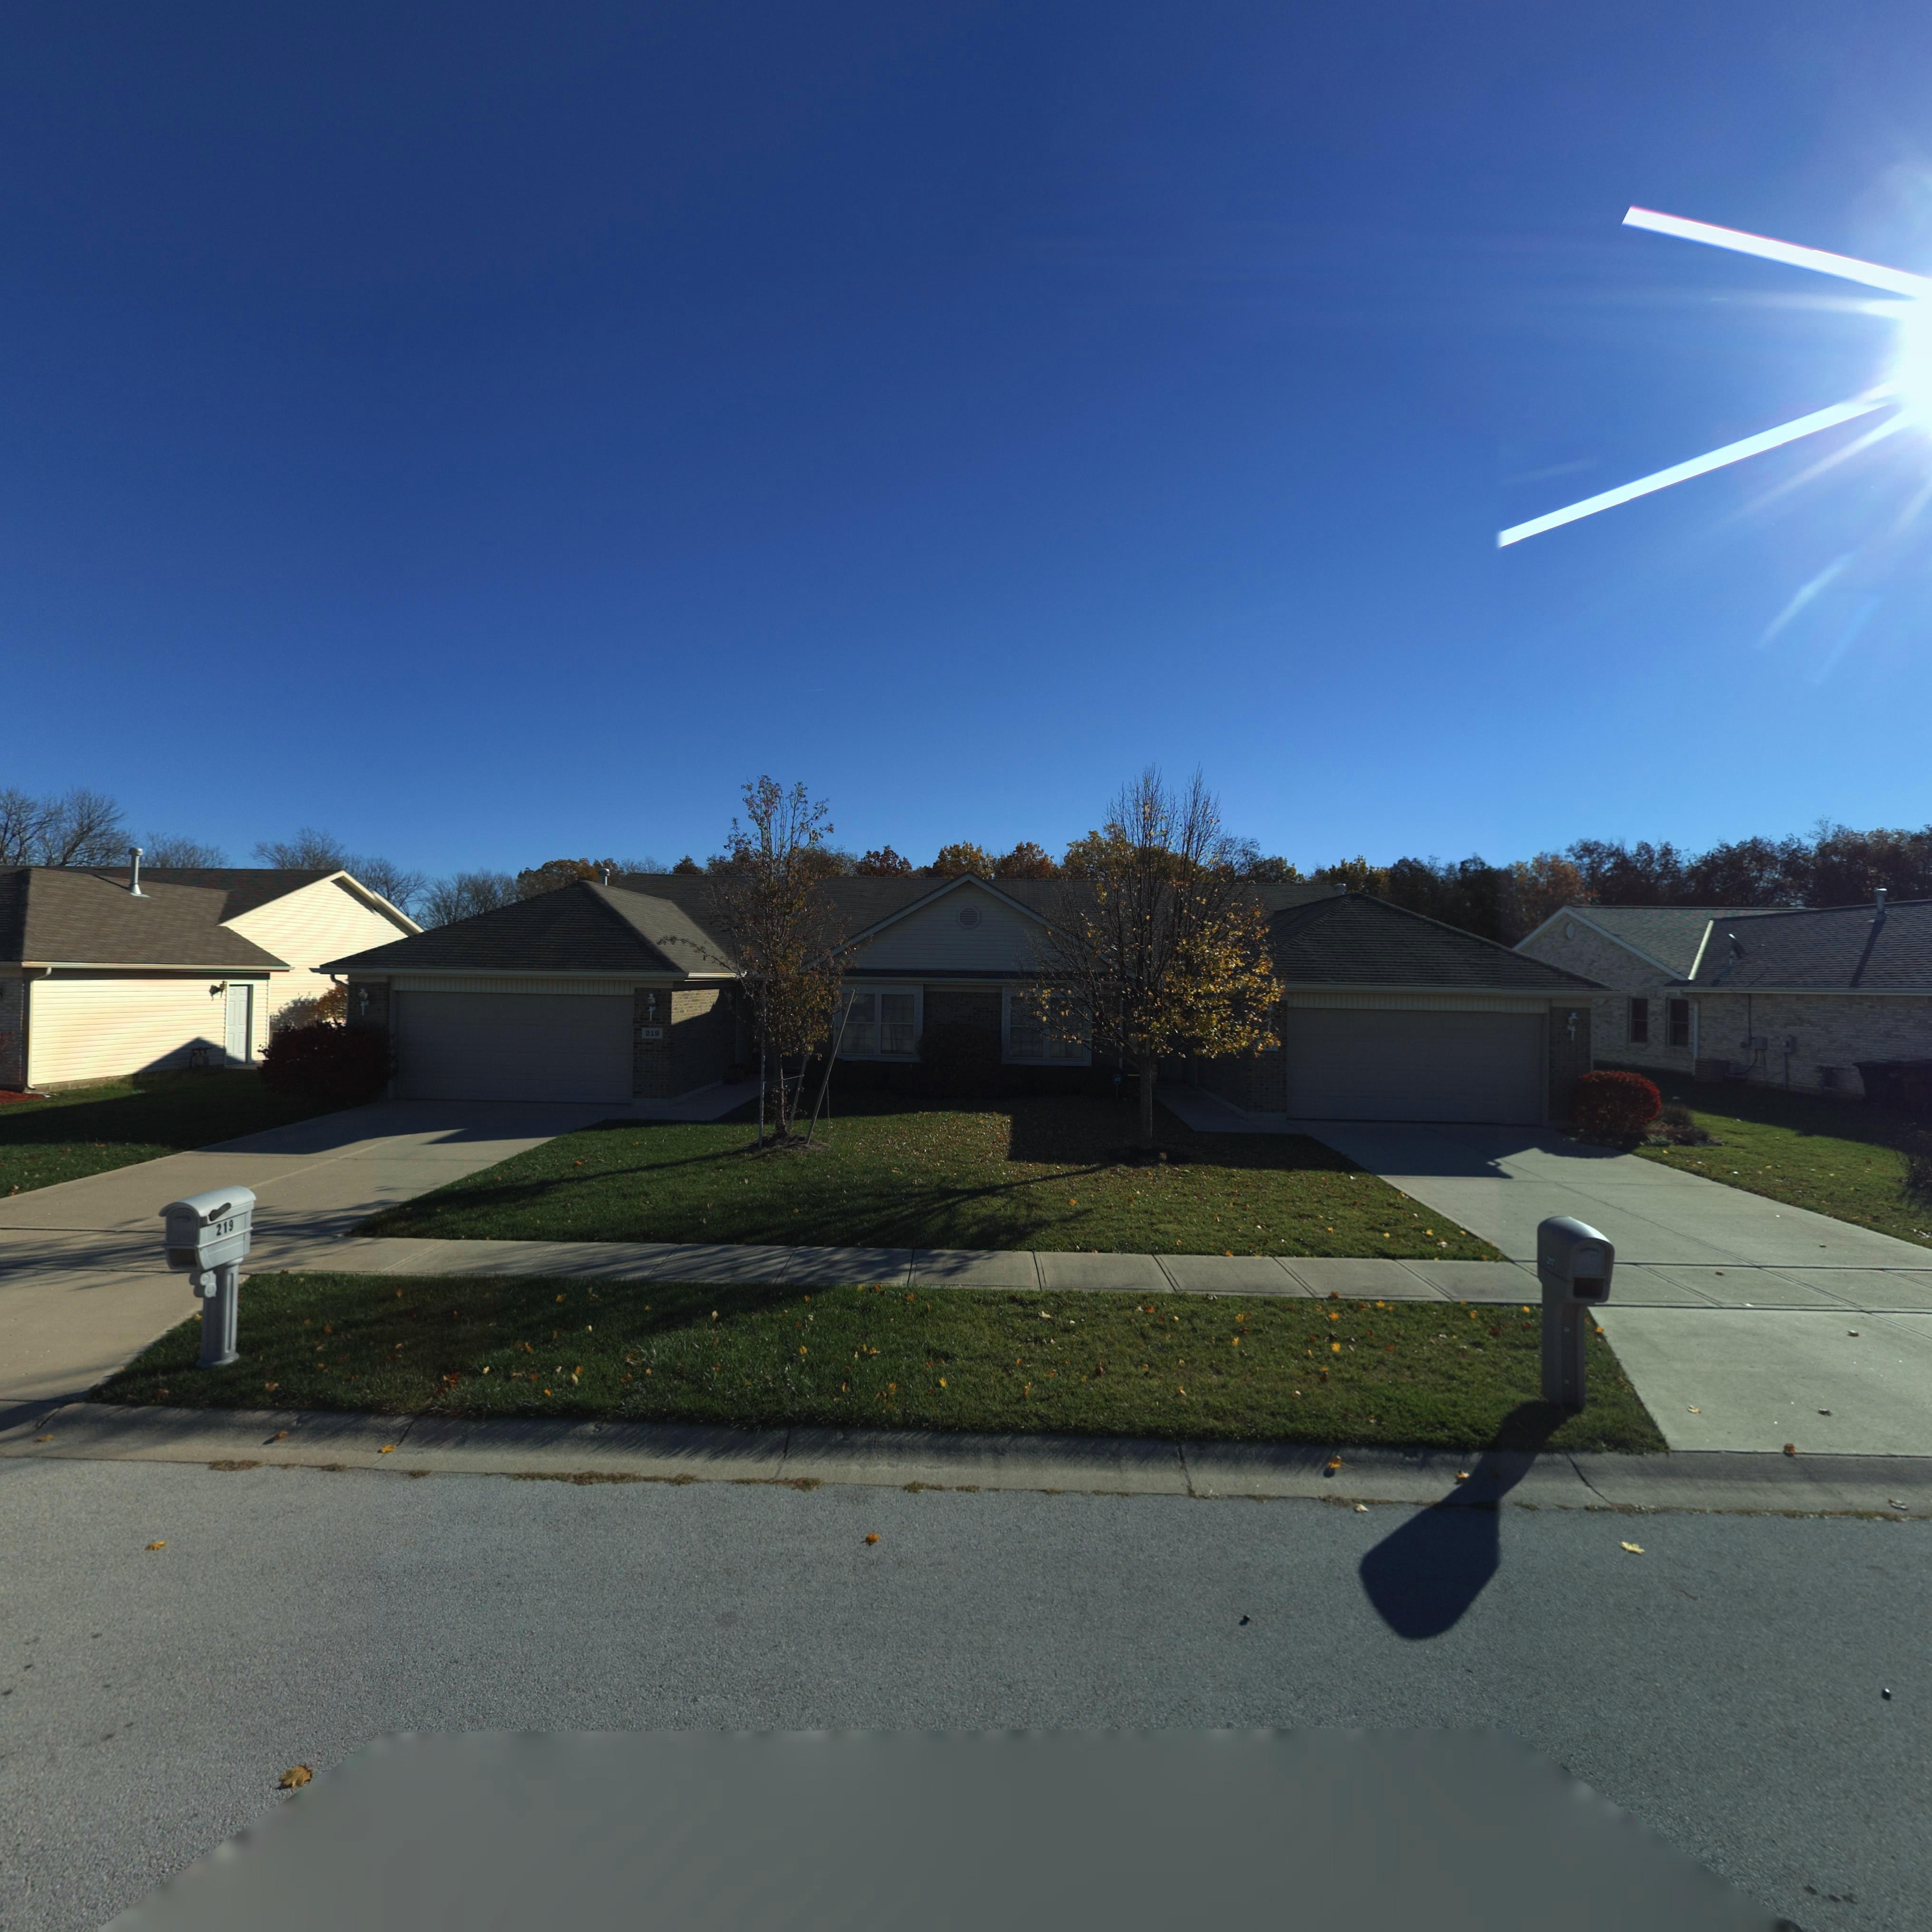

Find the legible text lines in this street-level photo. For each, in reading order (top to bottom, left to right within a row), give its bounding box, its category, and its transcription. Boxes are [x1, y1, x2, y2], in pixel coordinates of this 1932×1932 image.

[644, 1030, 661, 1039] StreetNumber: 219
[215, 1220, 237, 1241] StreetNumber: 219